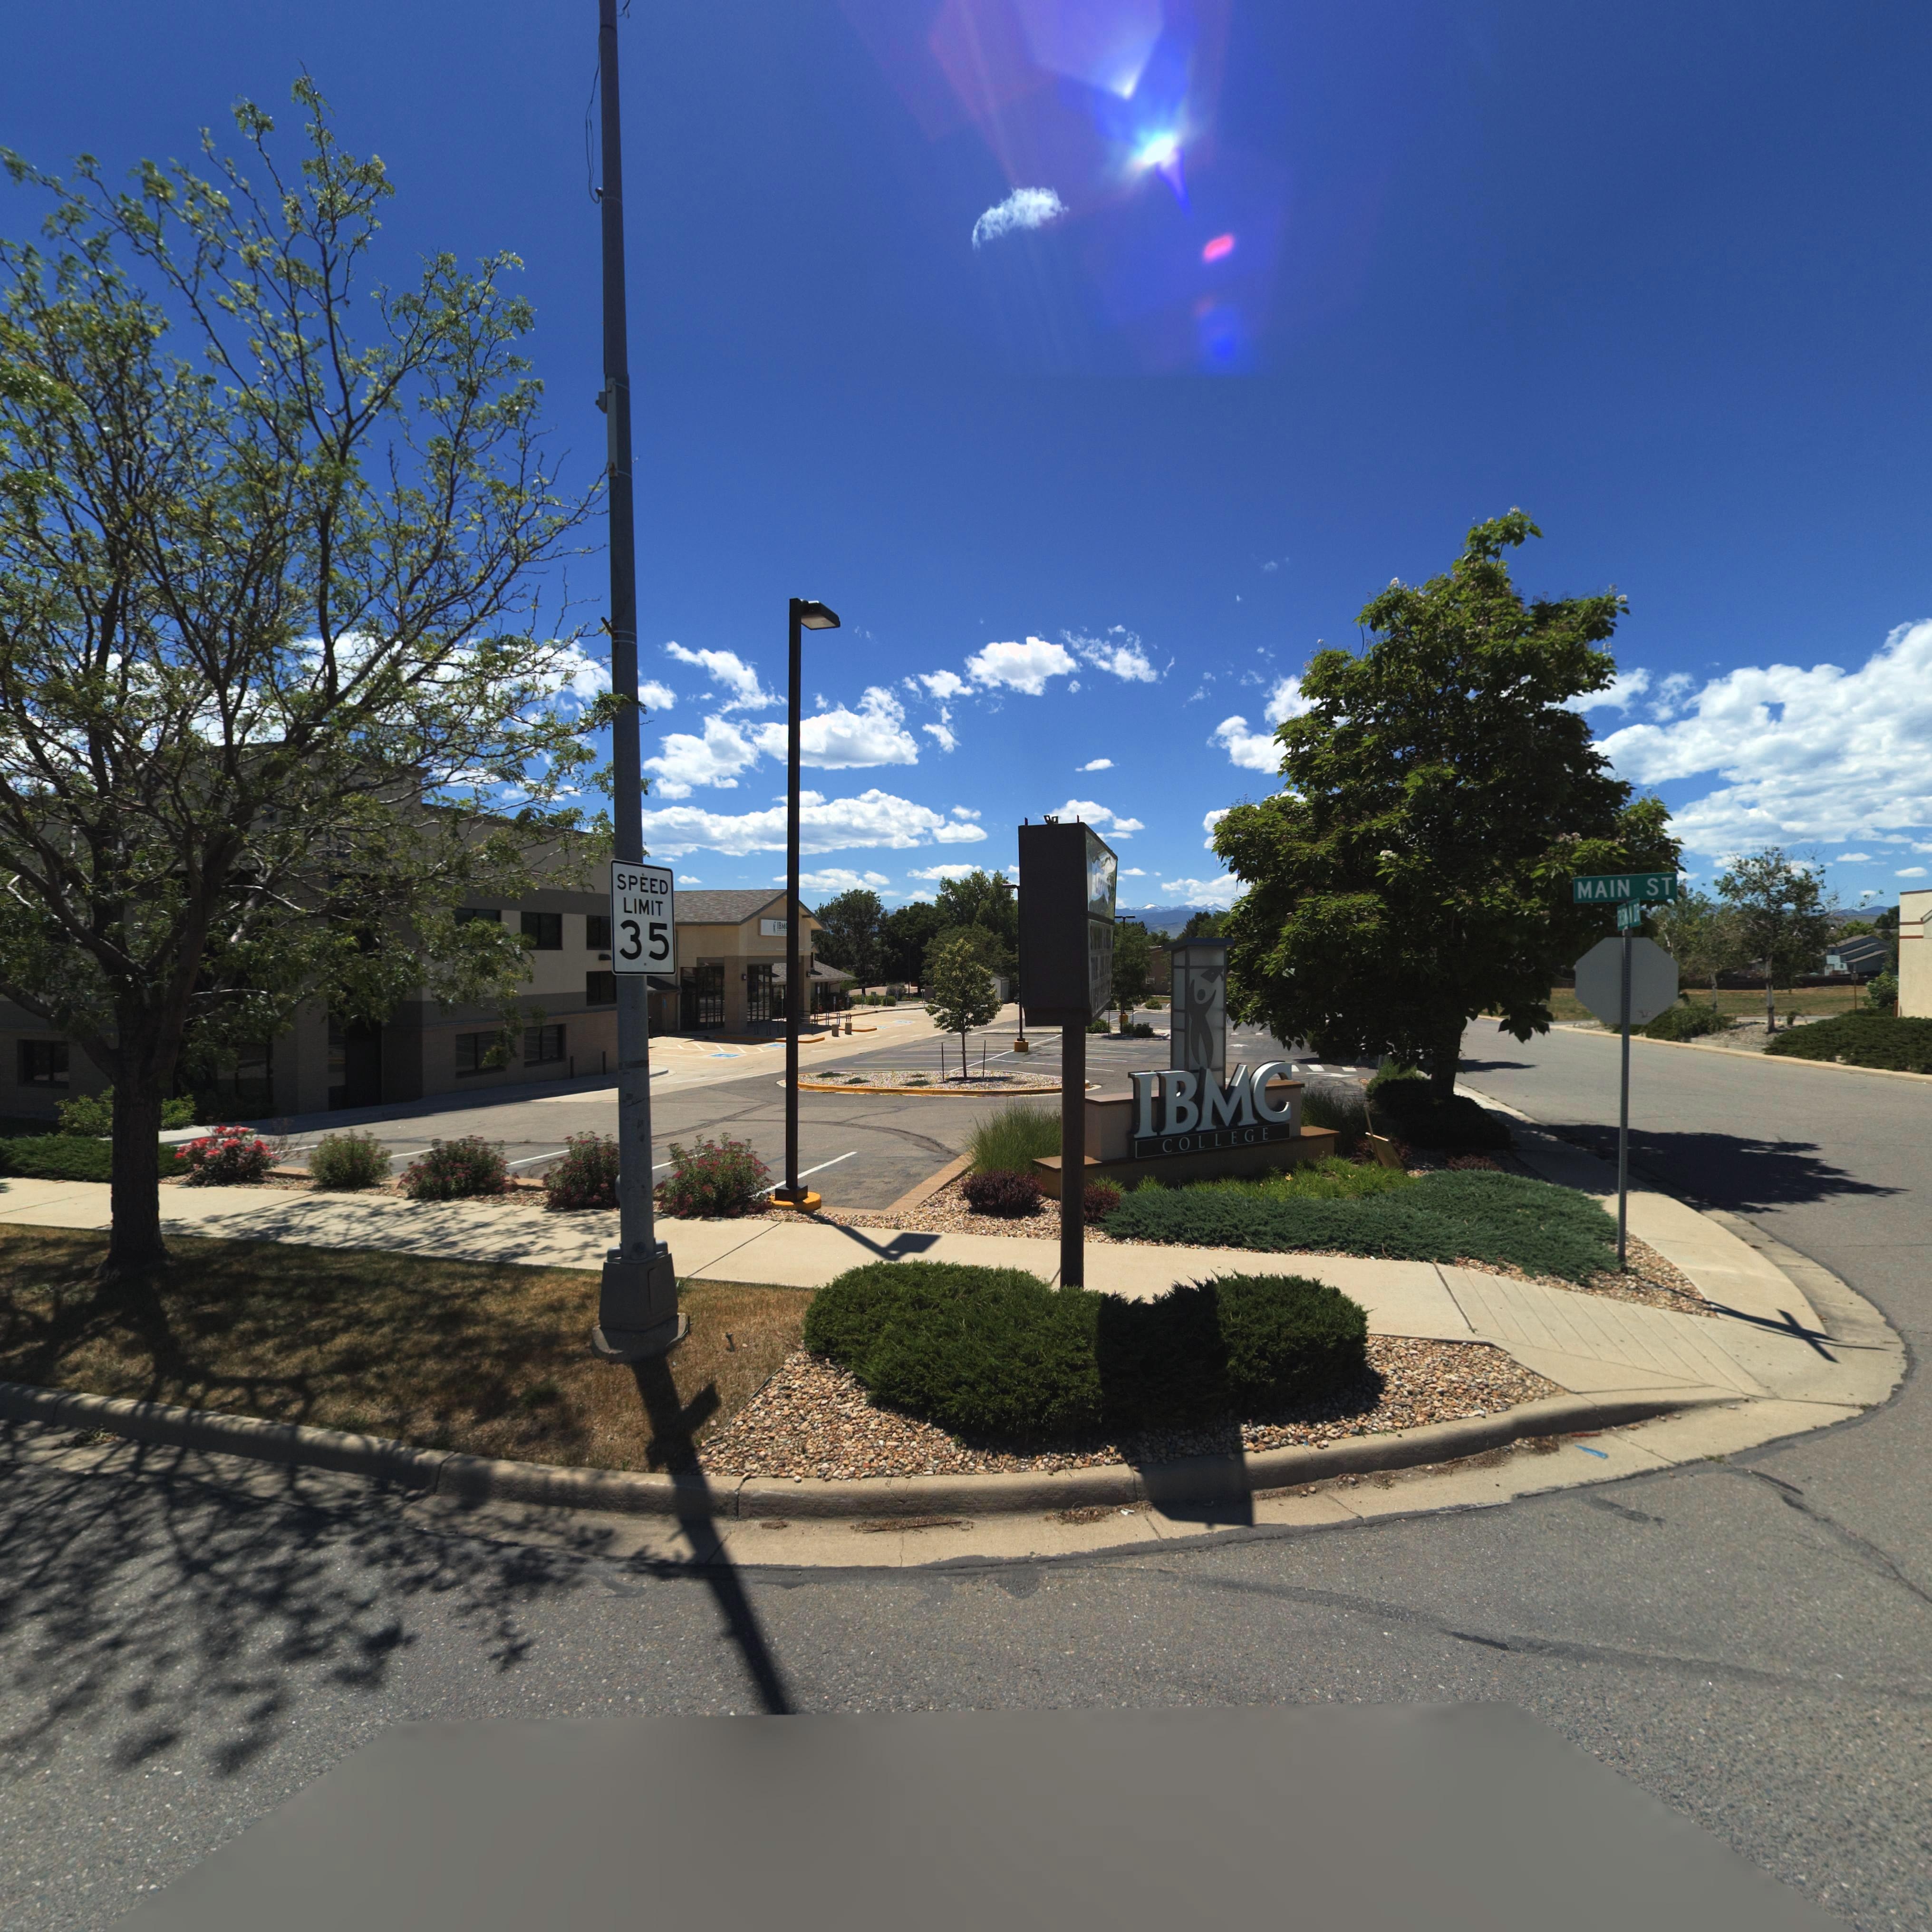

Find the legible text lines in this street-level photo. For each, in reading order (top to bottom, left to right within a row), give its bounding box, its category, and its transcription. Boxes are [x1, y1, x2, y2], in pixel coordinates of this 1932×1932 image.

[1577, 877, 1672, 899] StreetName: MAIN ST
[777, 921, 787, 929] BusinessName: IBM*
[1617, 902, 1641, 927] StreetName: ******* DR
[1132, 1062, 1292, 1139] BusinessName: IBMC
[1162, 1127, 1269, 1153] BusinessName: COLLEGE